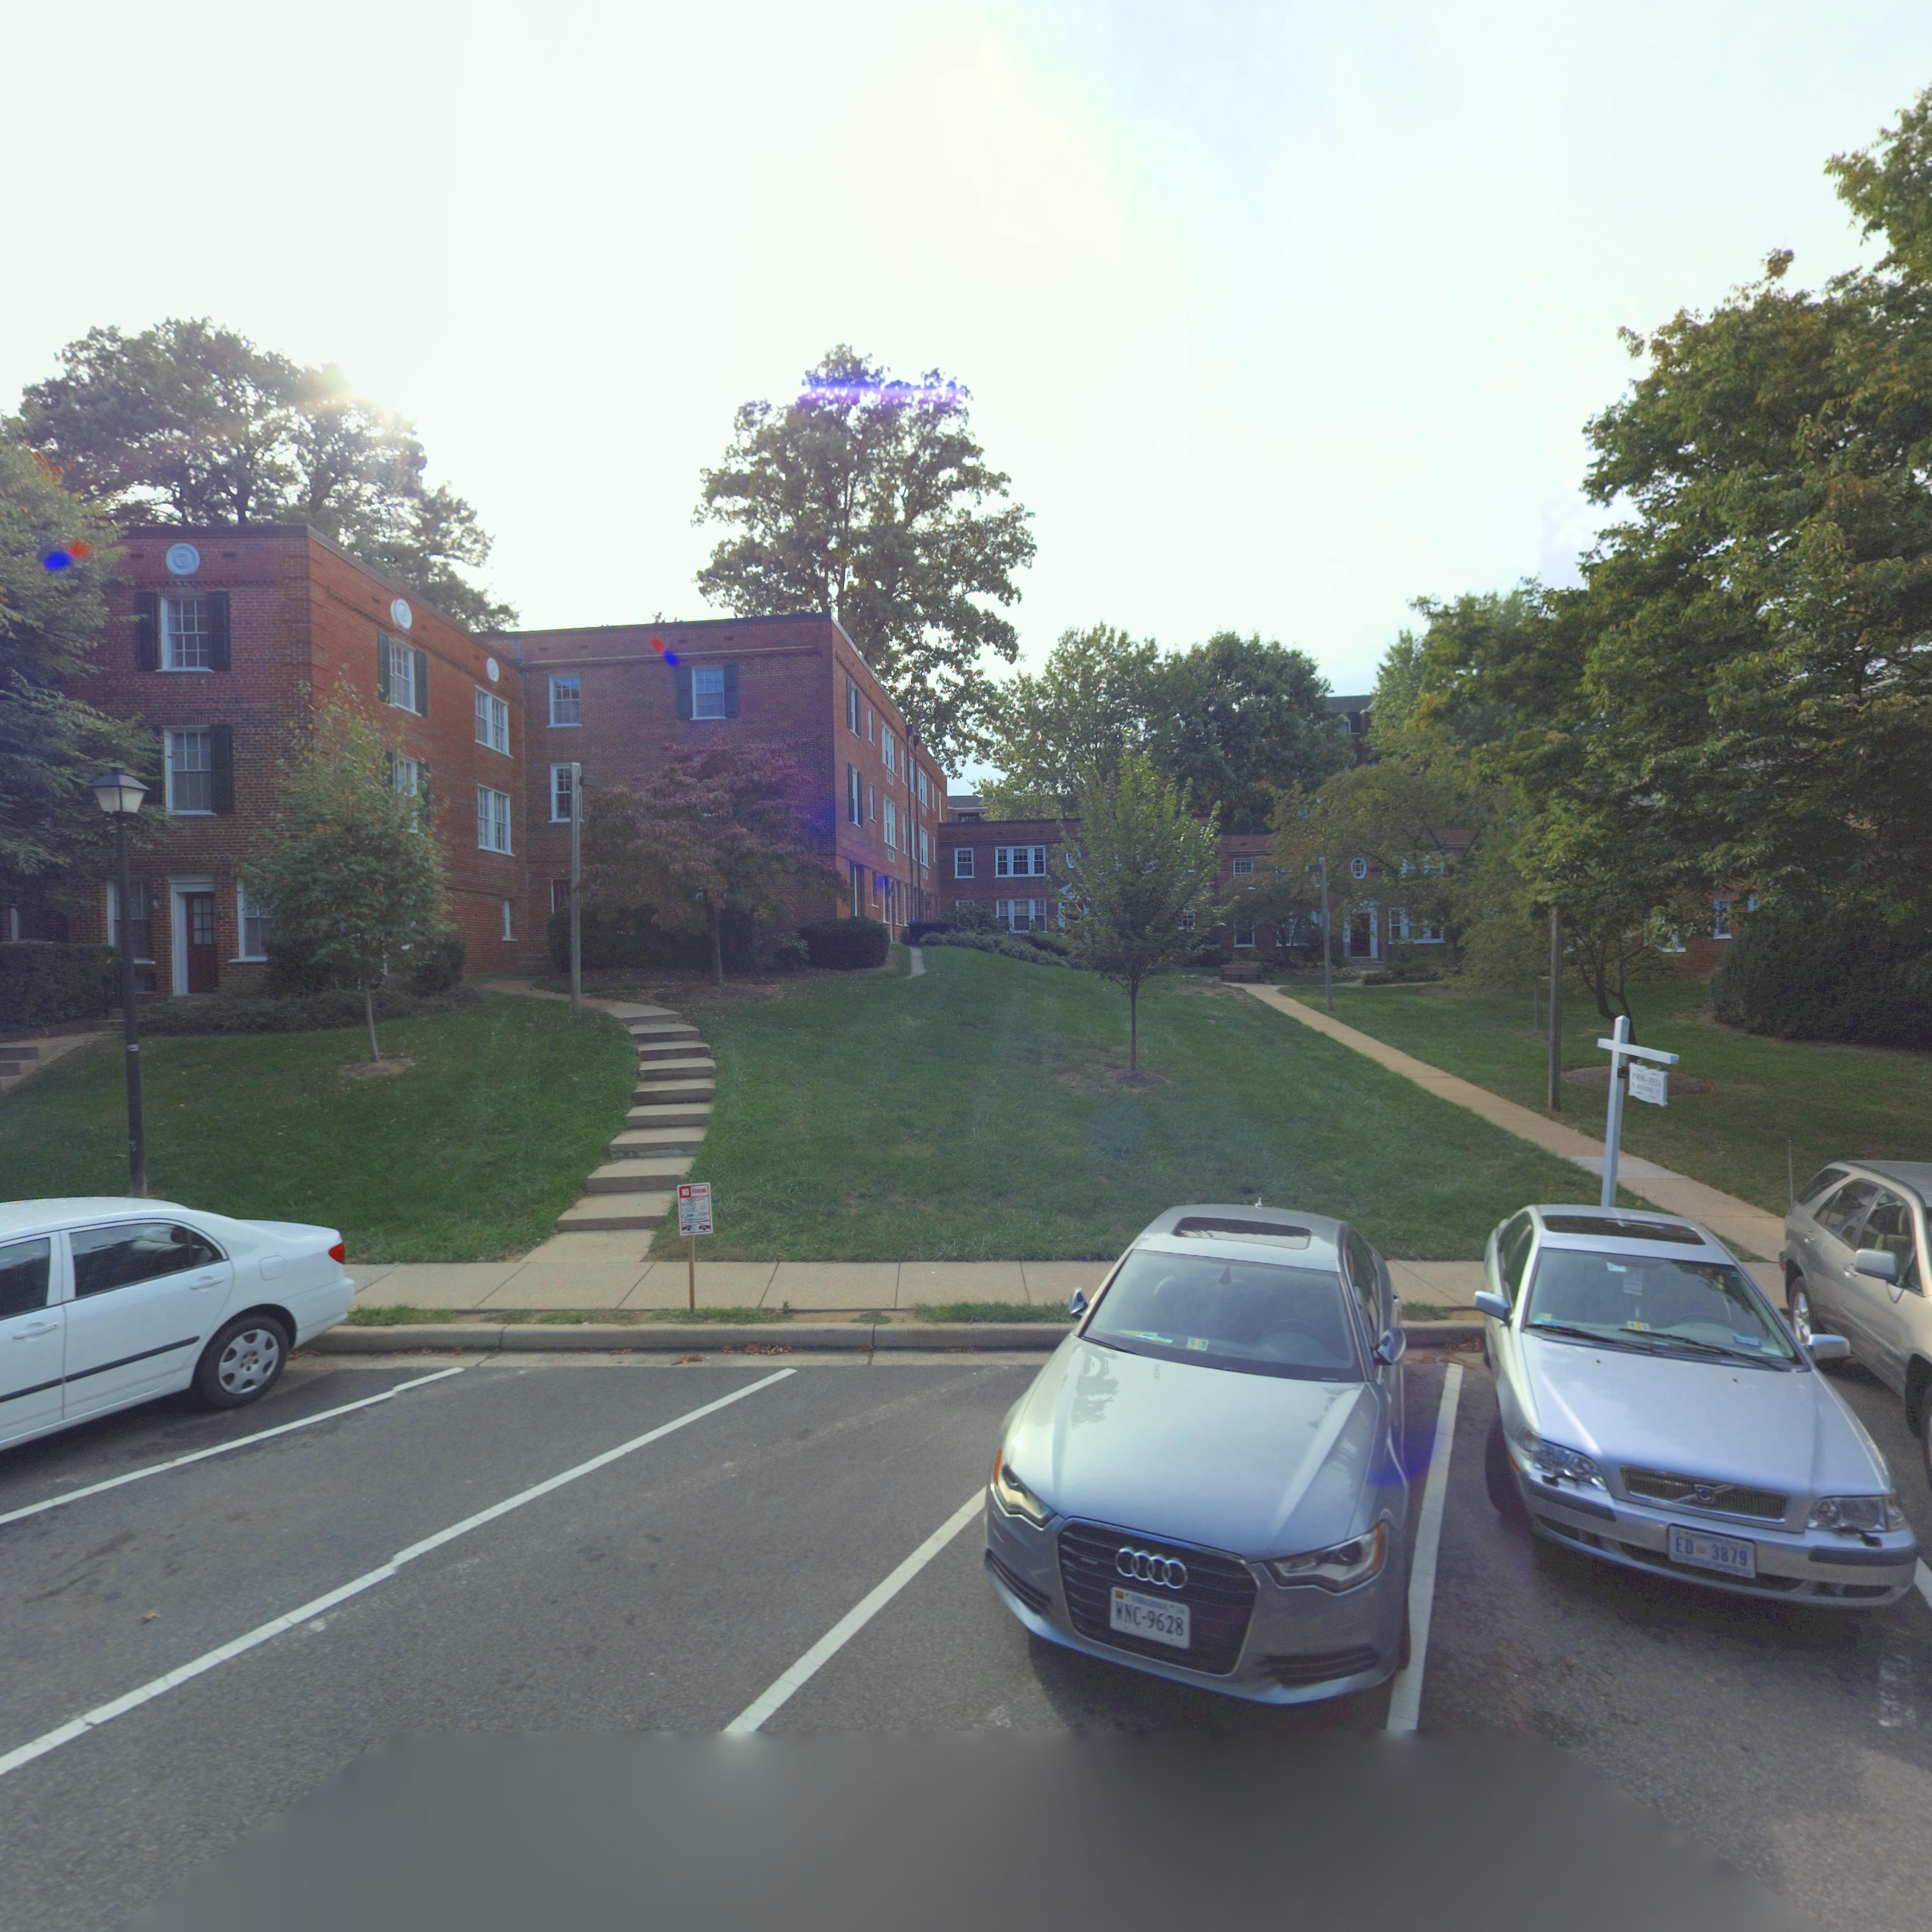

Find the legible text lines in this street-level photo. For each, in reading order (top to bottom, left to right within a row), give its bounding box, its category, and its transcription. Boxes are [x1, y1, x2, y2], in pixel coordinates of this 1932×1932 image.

[684, 1188, 690, 1197] None: O
[1673, 1533, 1750, 1572] None: ED* 3879
[1113, 1598, 1187, 1639] None: WNC-9628